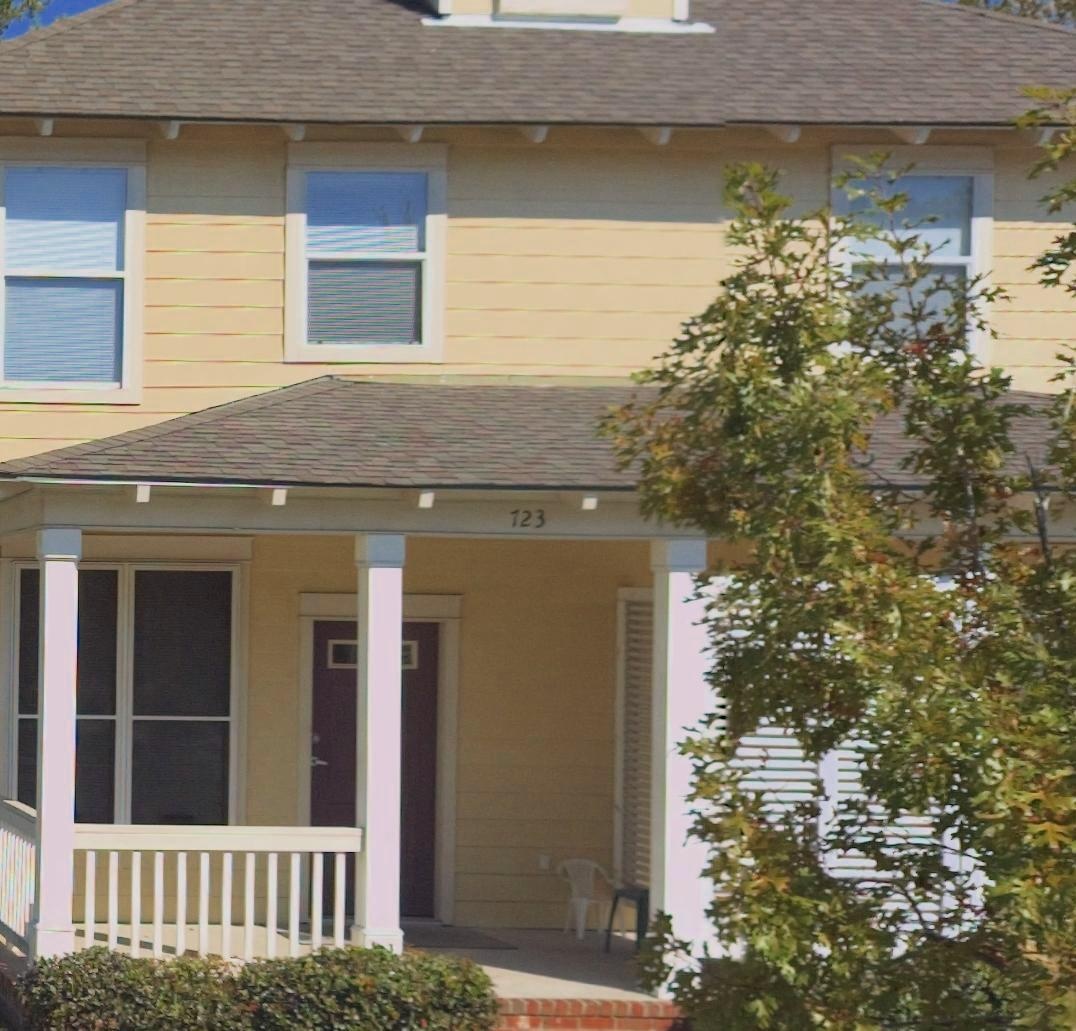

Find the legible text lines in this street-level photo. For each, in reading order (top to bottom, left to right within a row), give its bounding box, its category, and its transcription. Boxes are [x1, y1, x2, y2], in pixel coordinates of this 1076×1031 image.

[507, 506, 547, 531] StreetNumber: 723